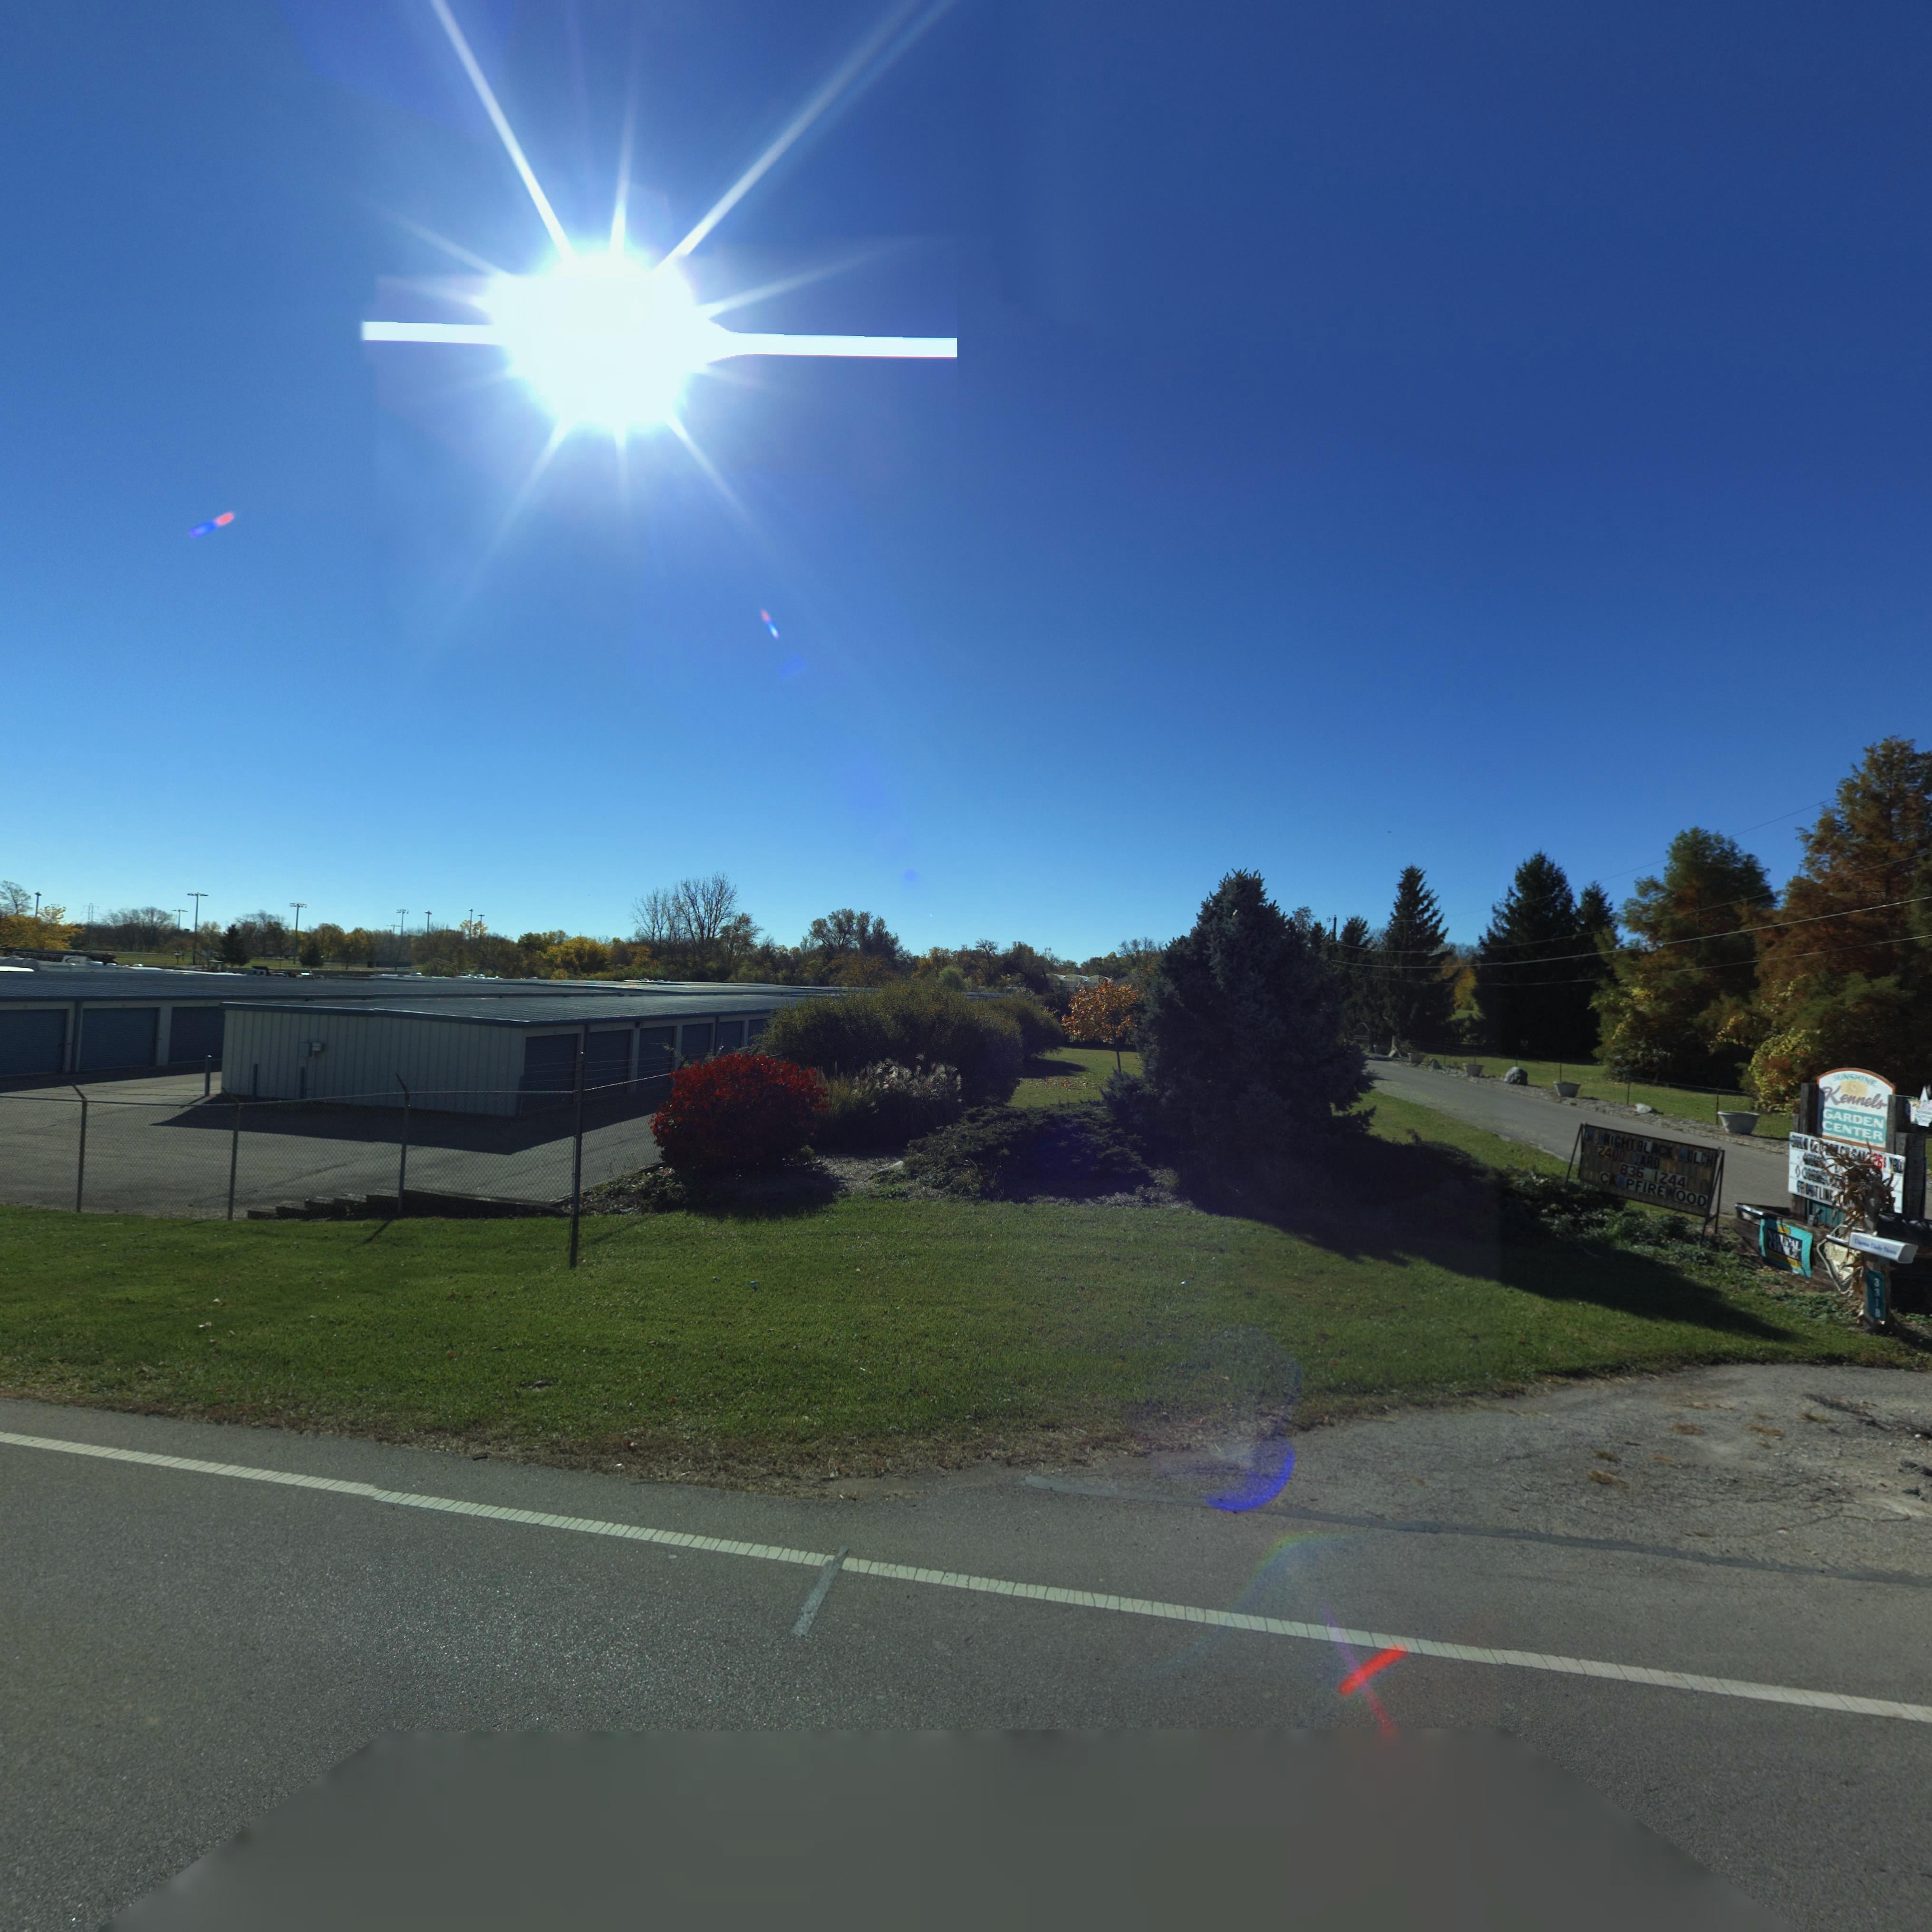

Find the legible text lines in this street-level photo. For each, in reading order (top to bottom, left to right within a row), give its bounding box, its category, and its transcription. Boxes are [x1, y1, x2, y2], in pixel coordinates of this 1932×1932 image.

[1823, 1084, 1889, 1112] None: Kennels
[1822, 1107, 1884, 1131] None: GARDEN
[1822, 1119, 1885, 1144] None: CENTER
[1598, 1145, 1628, 1165] None: 2400
[1620, 1164, 1645, 1181] None: 836
[1599, 1171, 1708, 1209] None: c**PFIREWOOD
[1653, 1170, 1688, 1190] None: 1244
[1873, 1276, 1882, 1318] StreetNumber: 3318